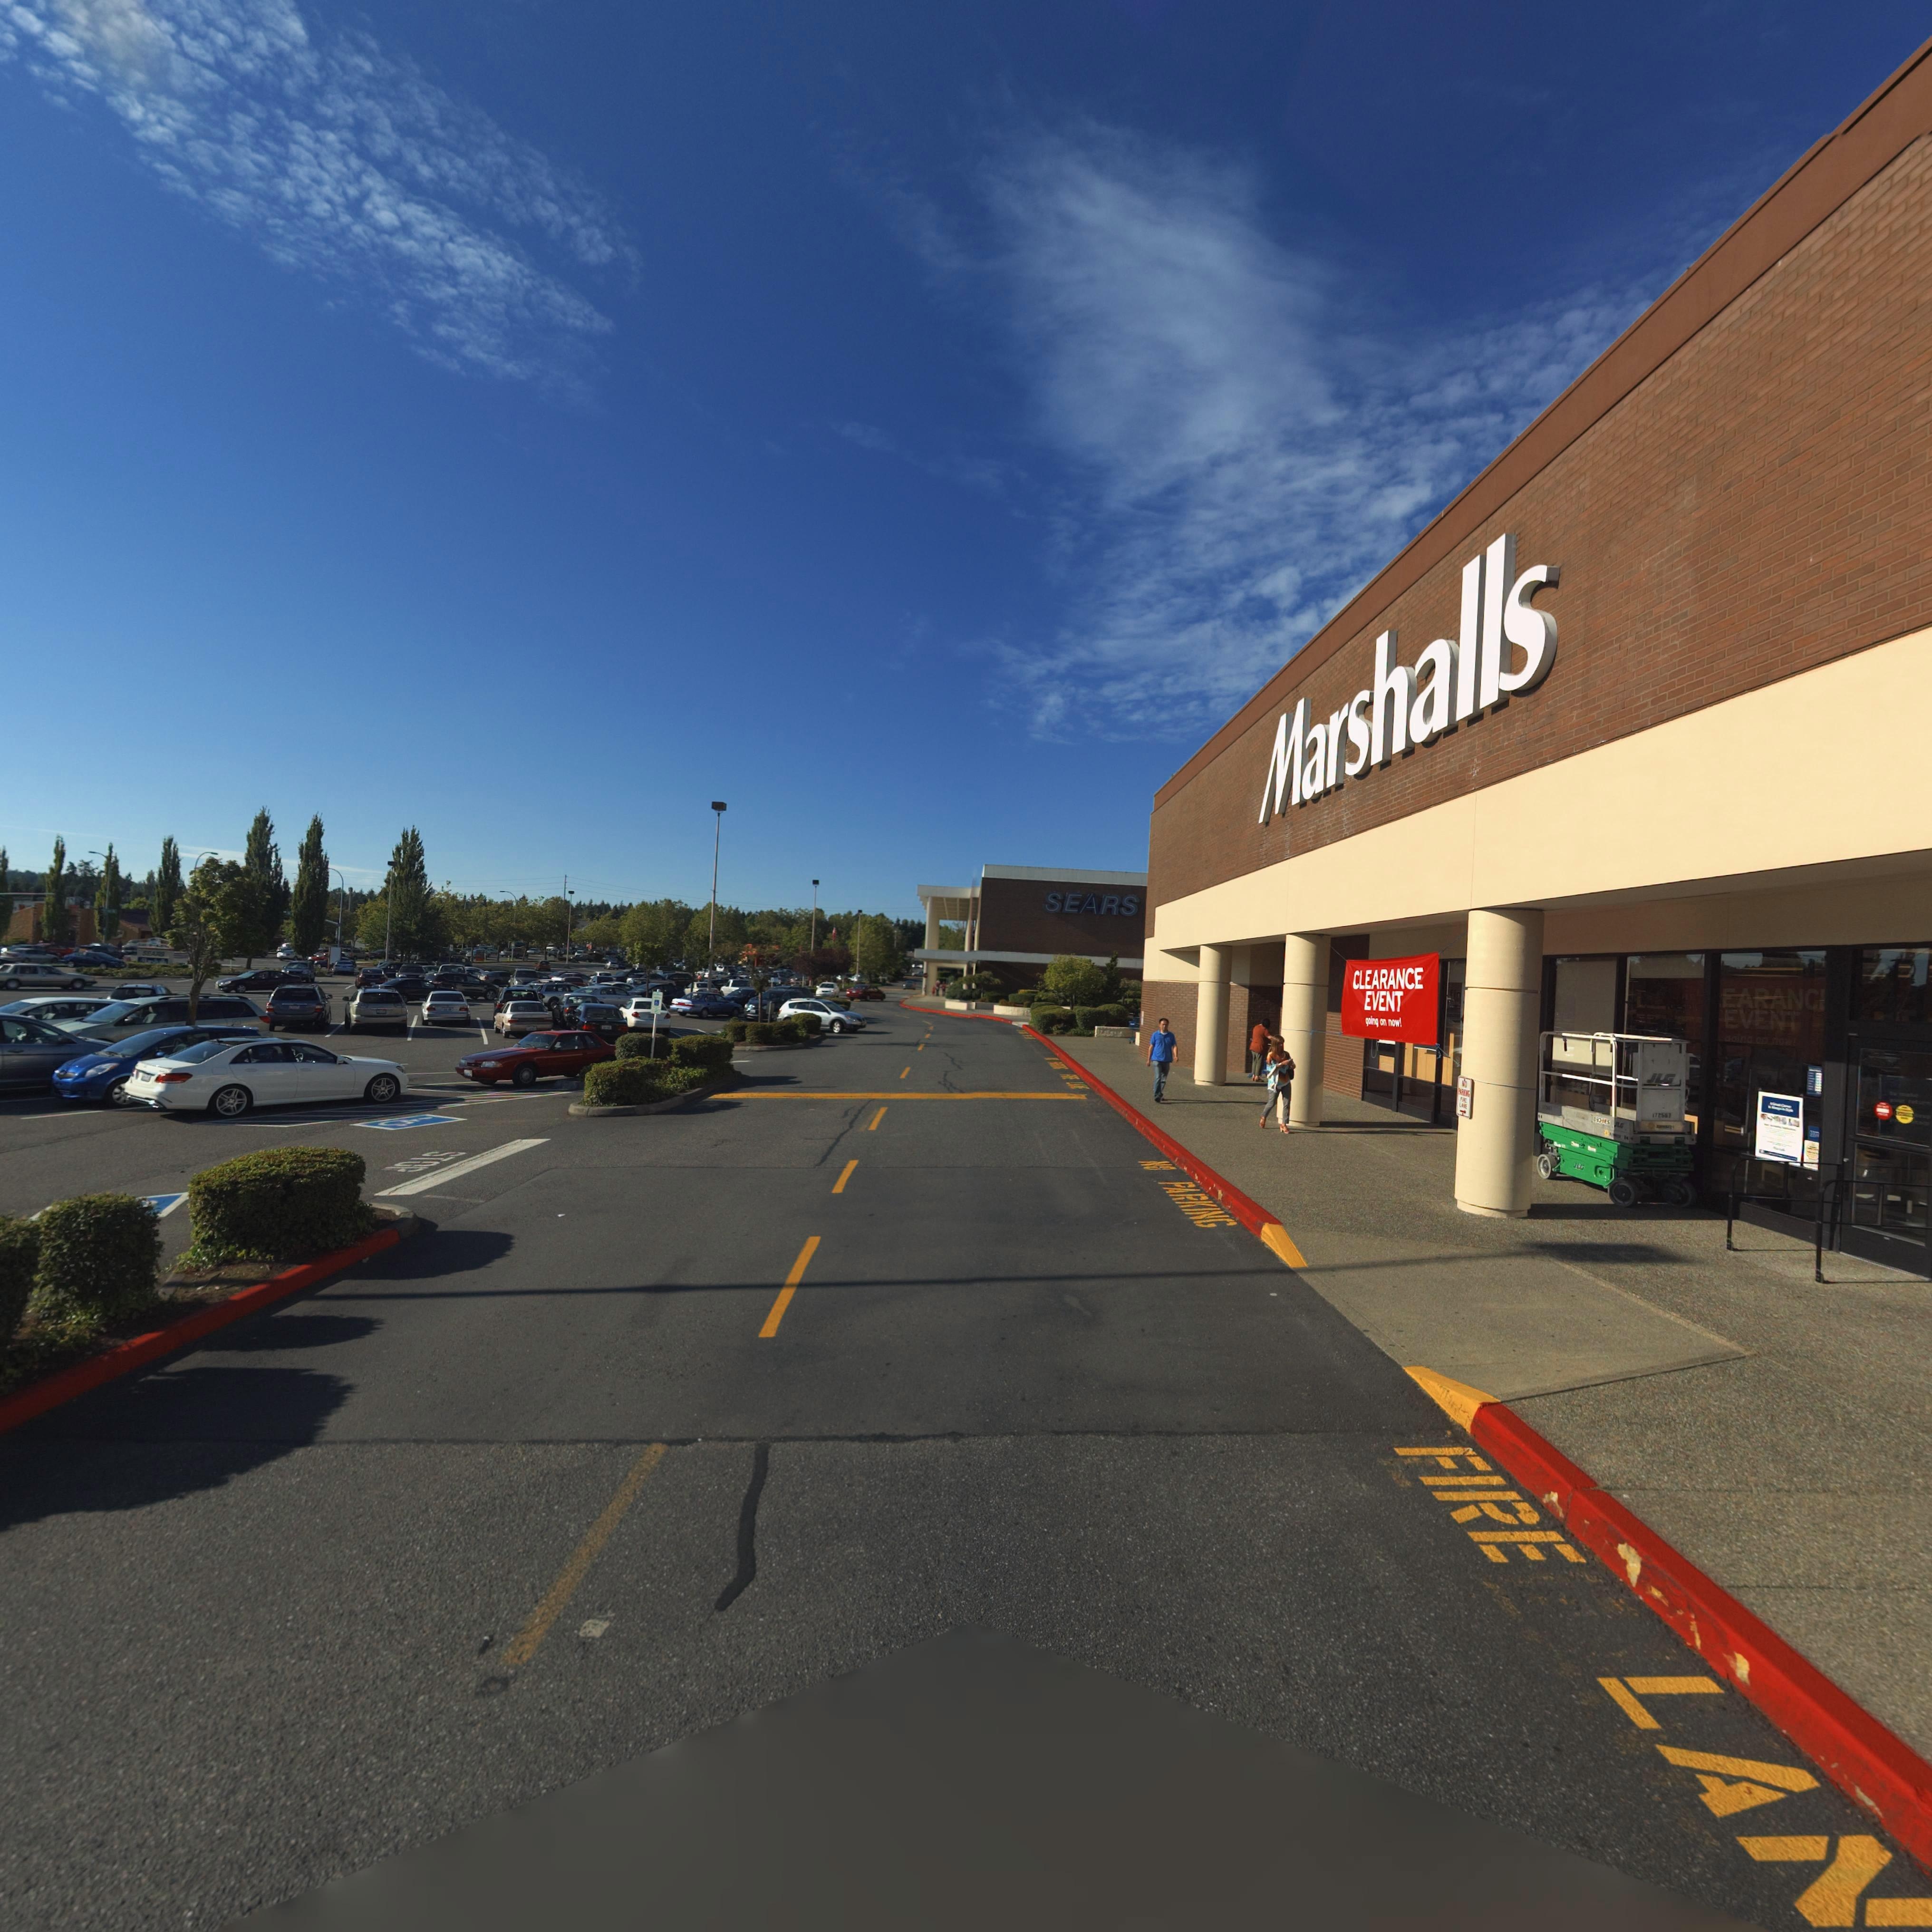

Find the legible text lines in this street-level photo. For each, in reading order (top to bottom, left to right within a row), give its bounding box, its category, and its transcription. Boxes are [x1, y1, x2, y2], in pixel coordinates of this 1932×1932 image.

[1256, 530, 1565, 825] BusinessName: Marshalls
[1046, 891, 1139, 917] BusinessName: SCARS